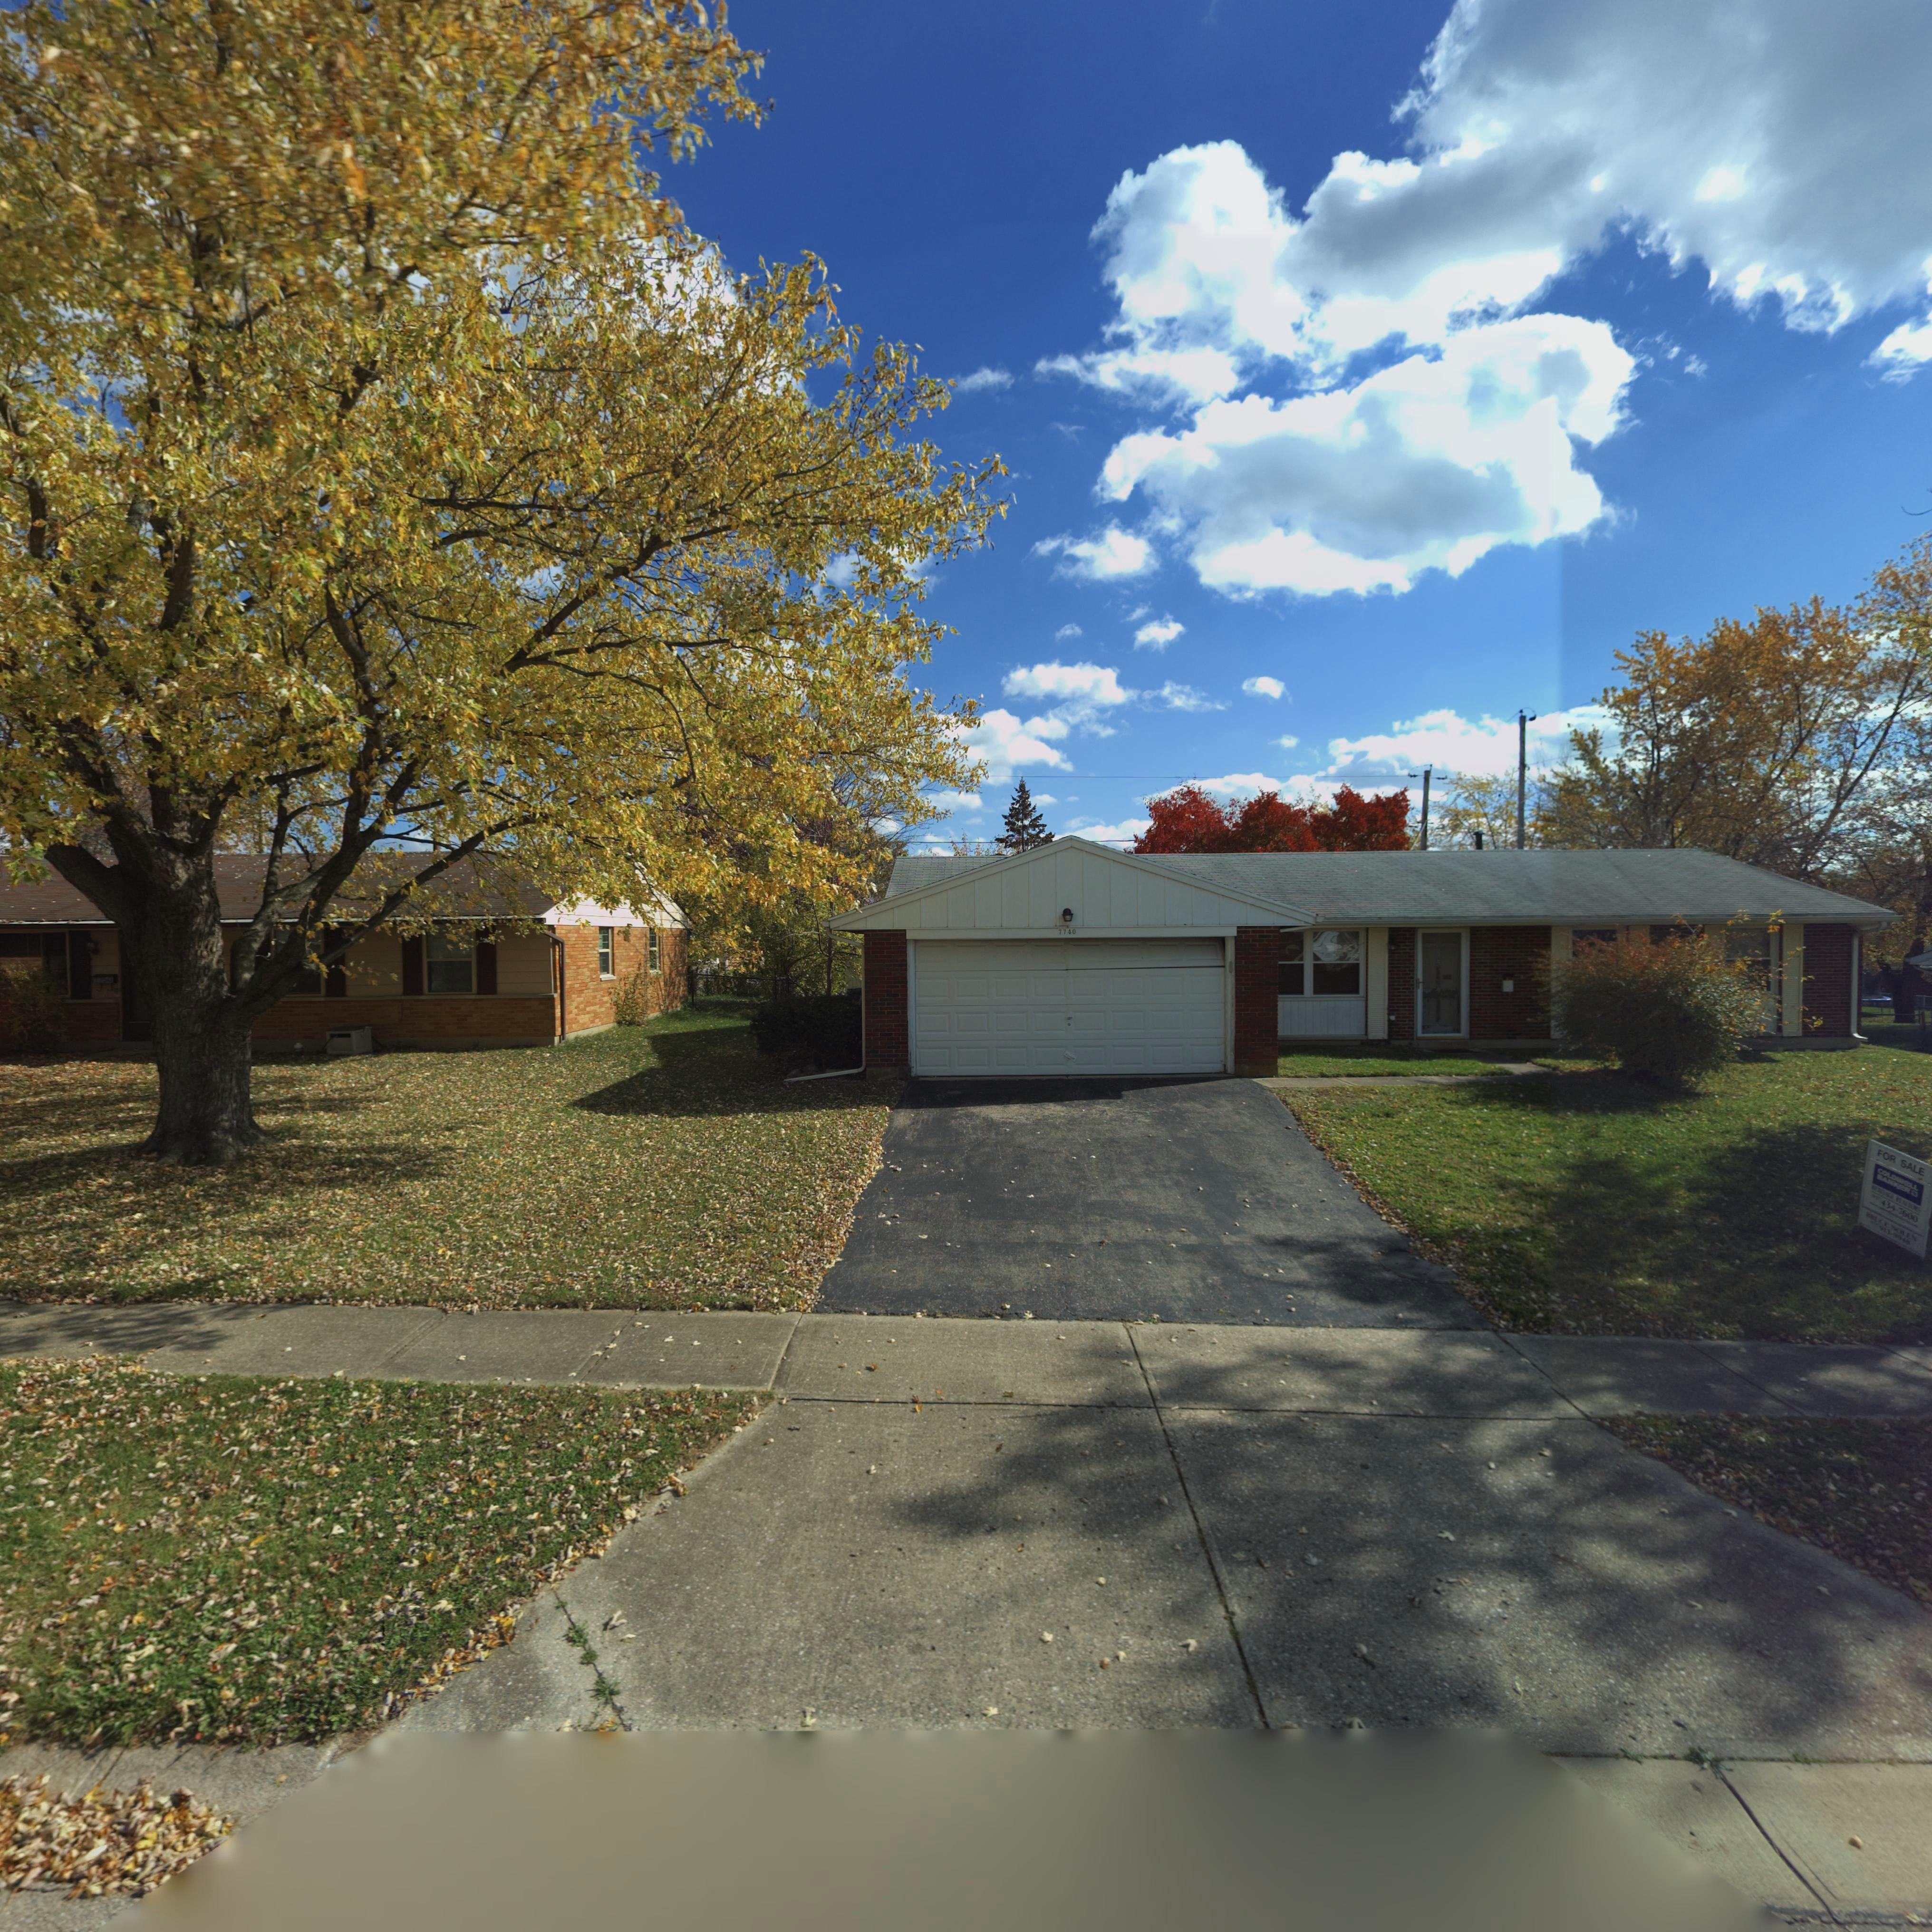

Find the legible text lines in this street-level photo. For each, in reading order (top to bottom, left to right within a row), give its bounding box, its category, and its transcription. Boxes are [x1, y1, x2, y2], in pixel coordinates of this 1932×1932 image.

[1058, 928, 1076, 935] StreetNumber: 7740